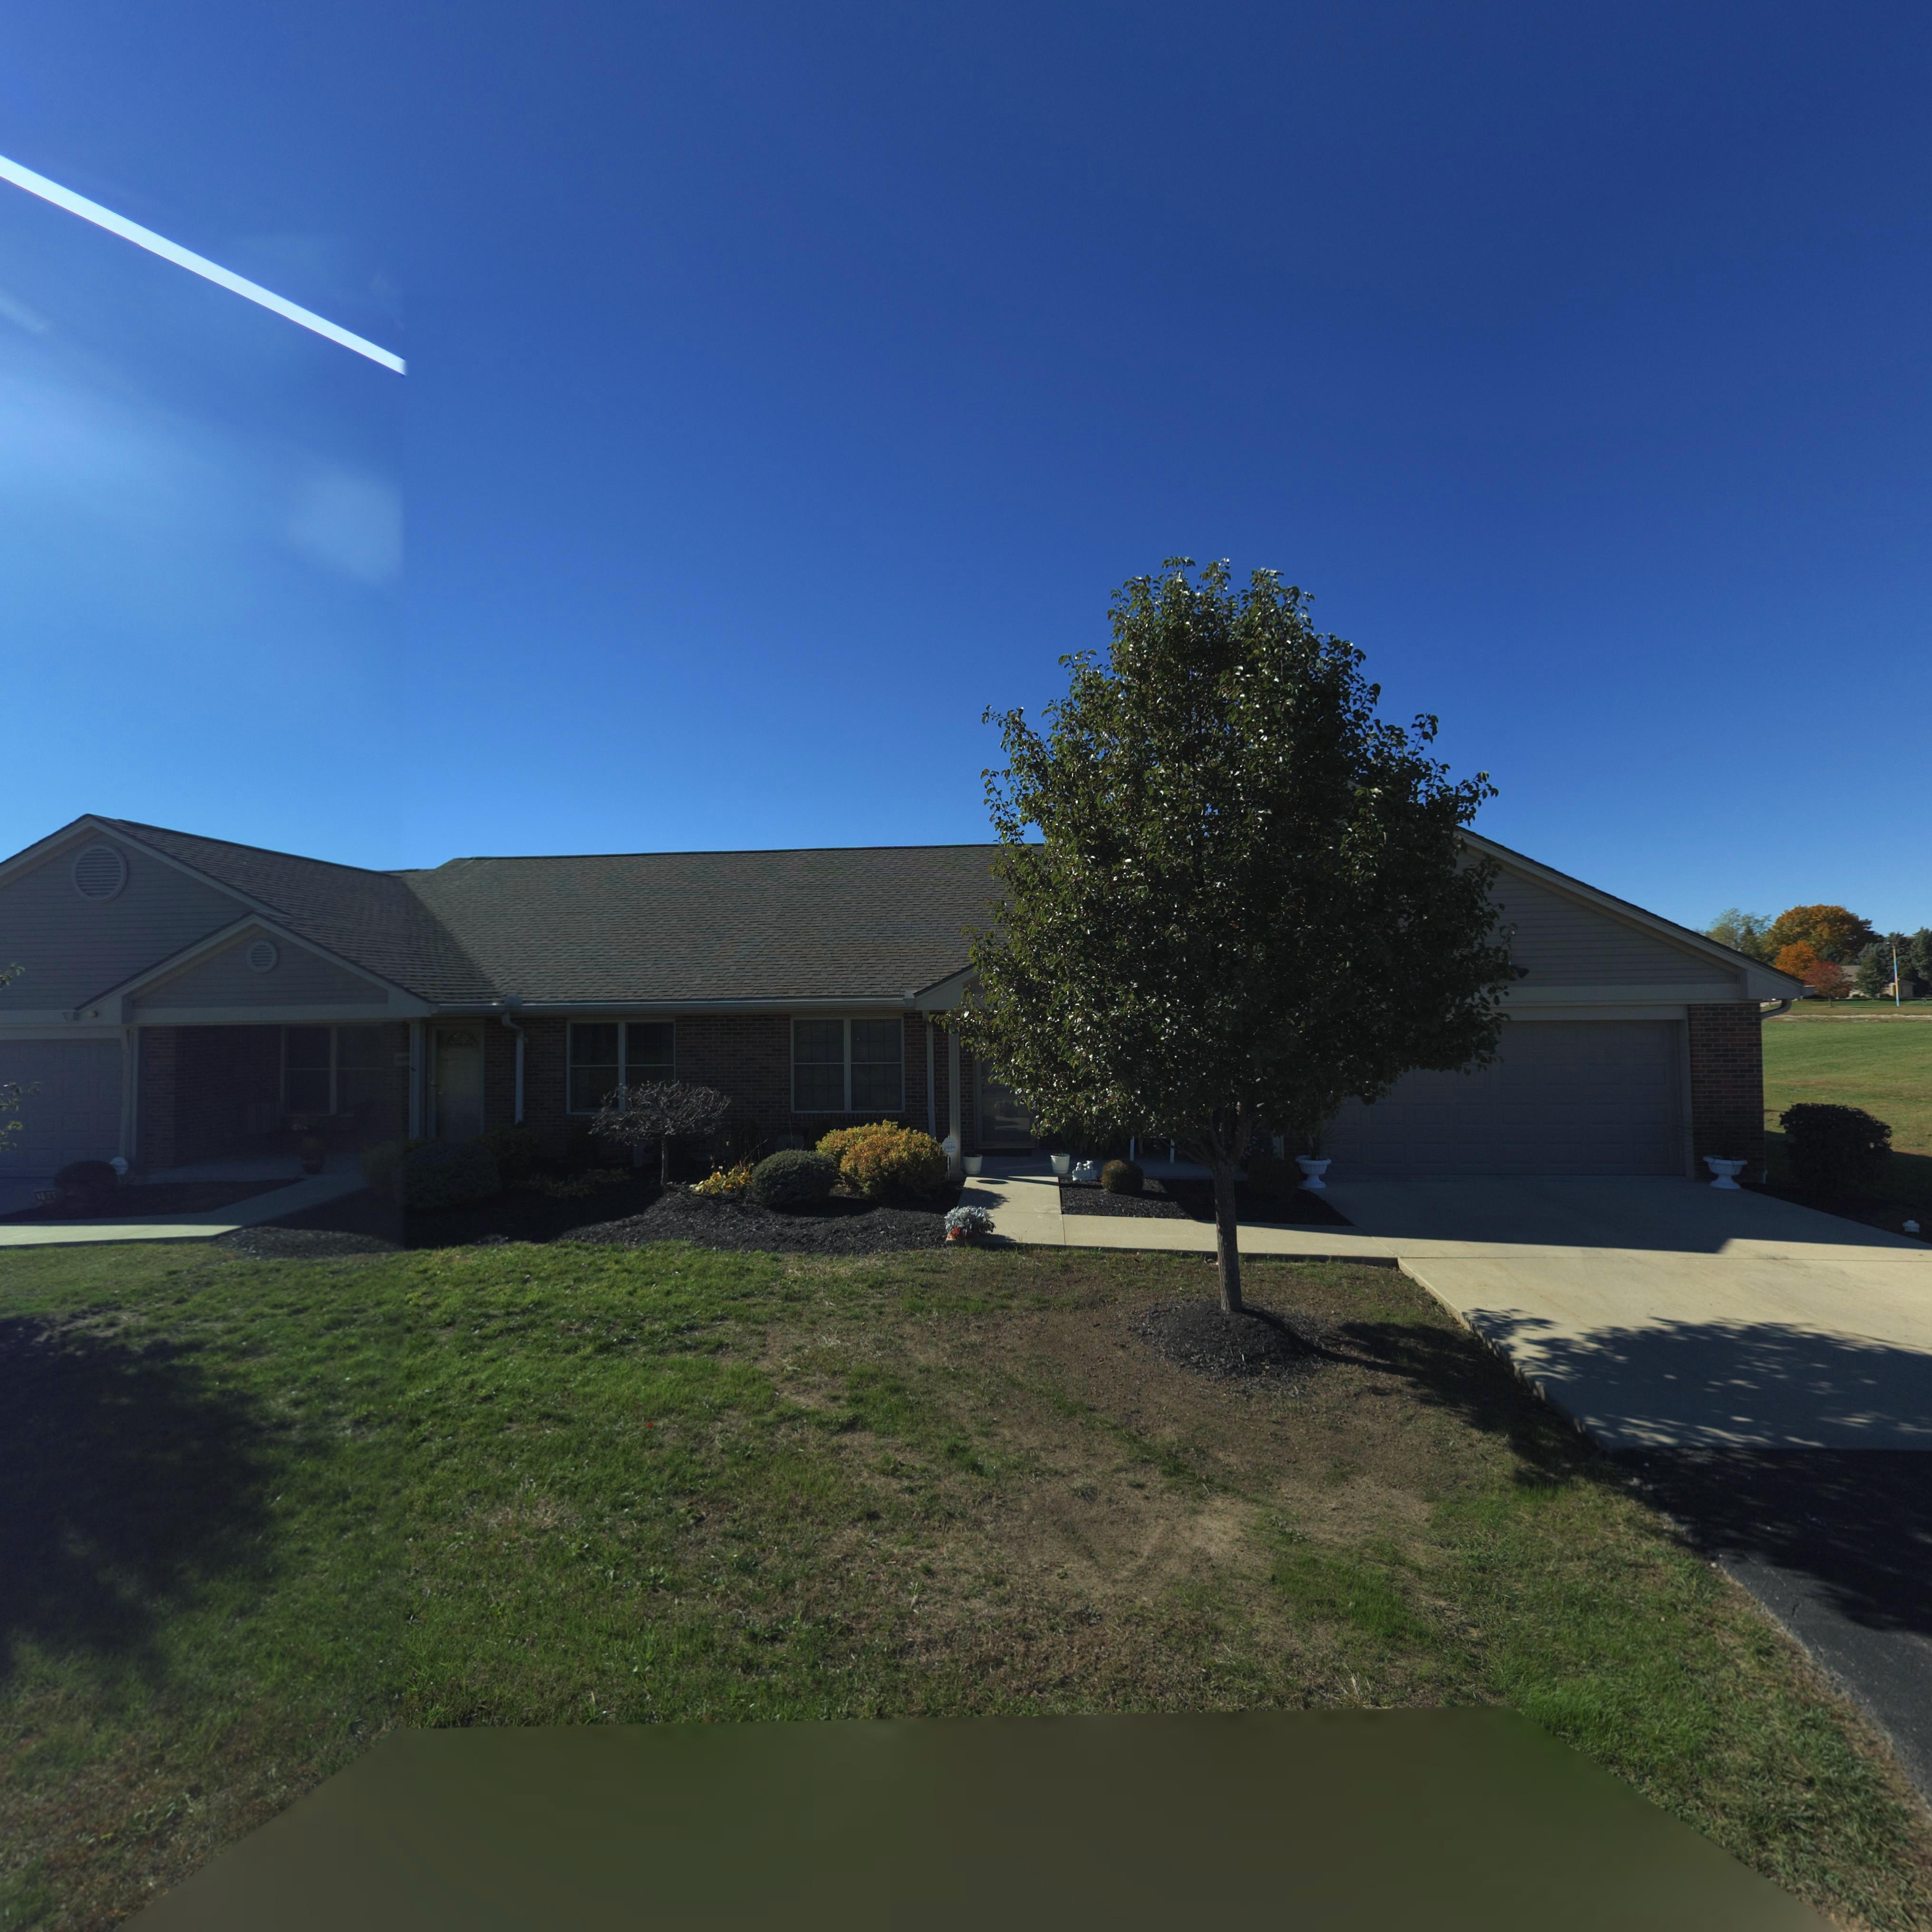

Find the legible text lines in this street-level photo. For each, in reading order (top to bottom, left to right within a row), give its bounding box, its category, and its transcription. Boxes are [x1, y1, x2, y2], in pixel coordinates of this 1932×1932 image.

[395, 1055, 410, 1062] StreetNumber: *06
[38, 1191, 55, 1200] StreetNumber: 506